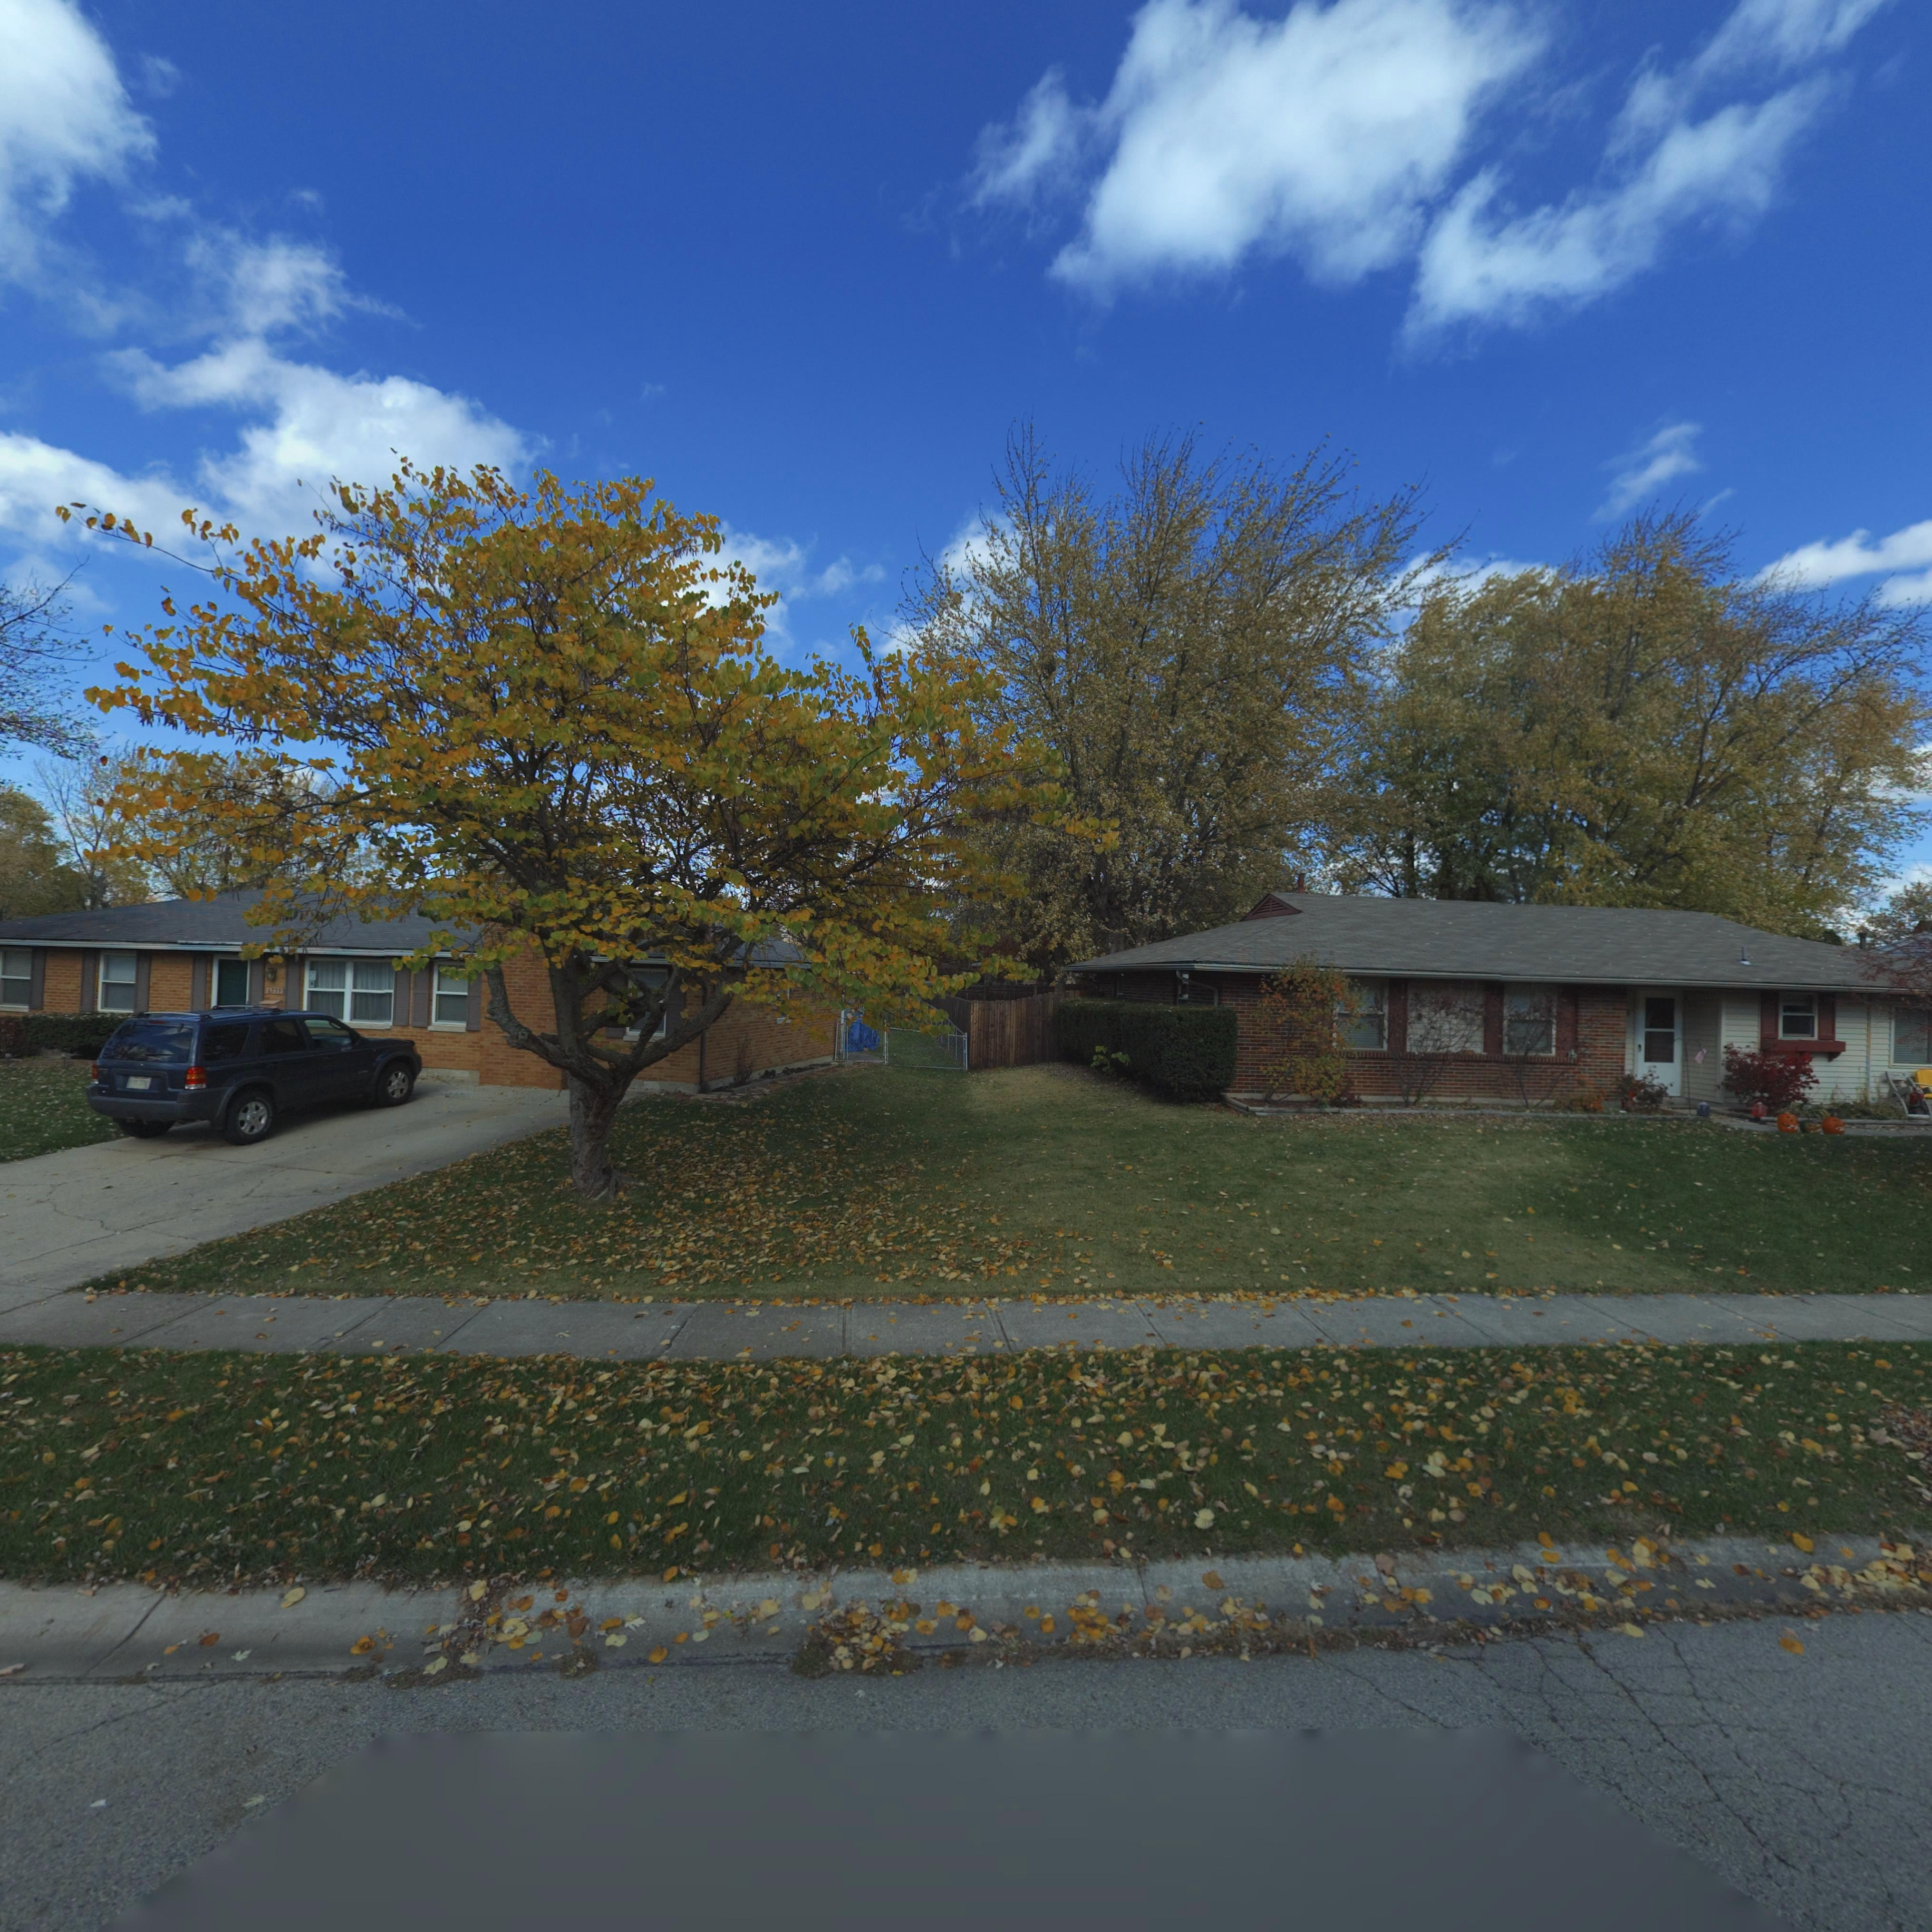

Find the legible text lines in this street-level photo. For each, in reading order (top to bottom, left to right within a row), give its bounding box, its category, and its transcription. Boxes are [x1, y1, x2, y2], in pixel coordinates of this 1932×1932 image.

[267, 987, 282, 994] StreetNumber: 6739